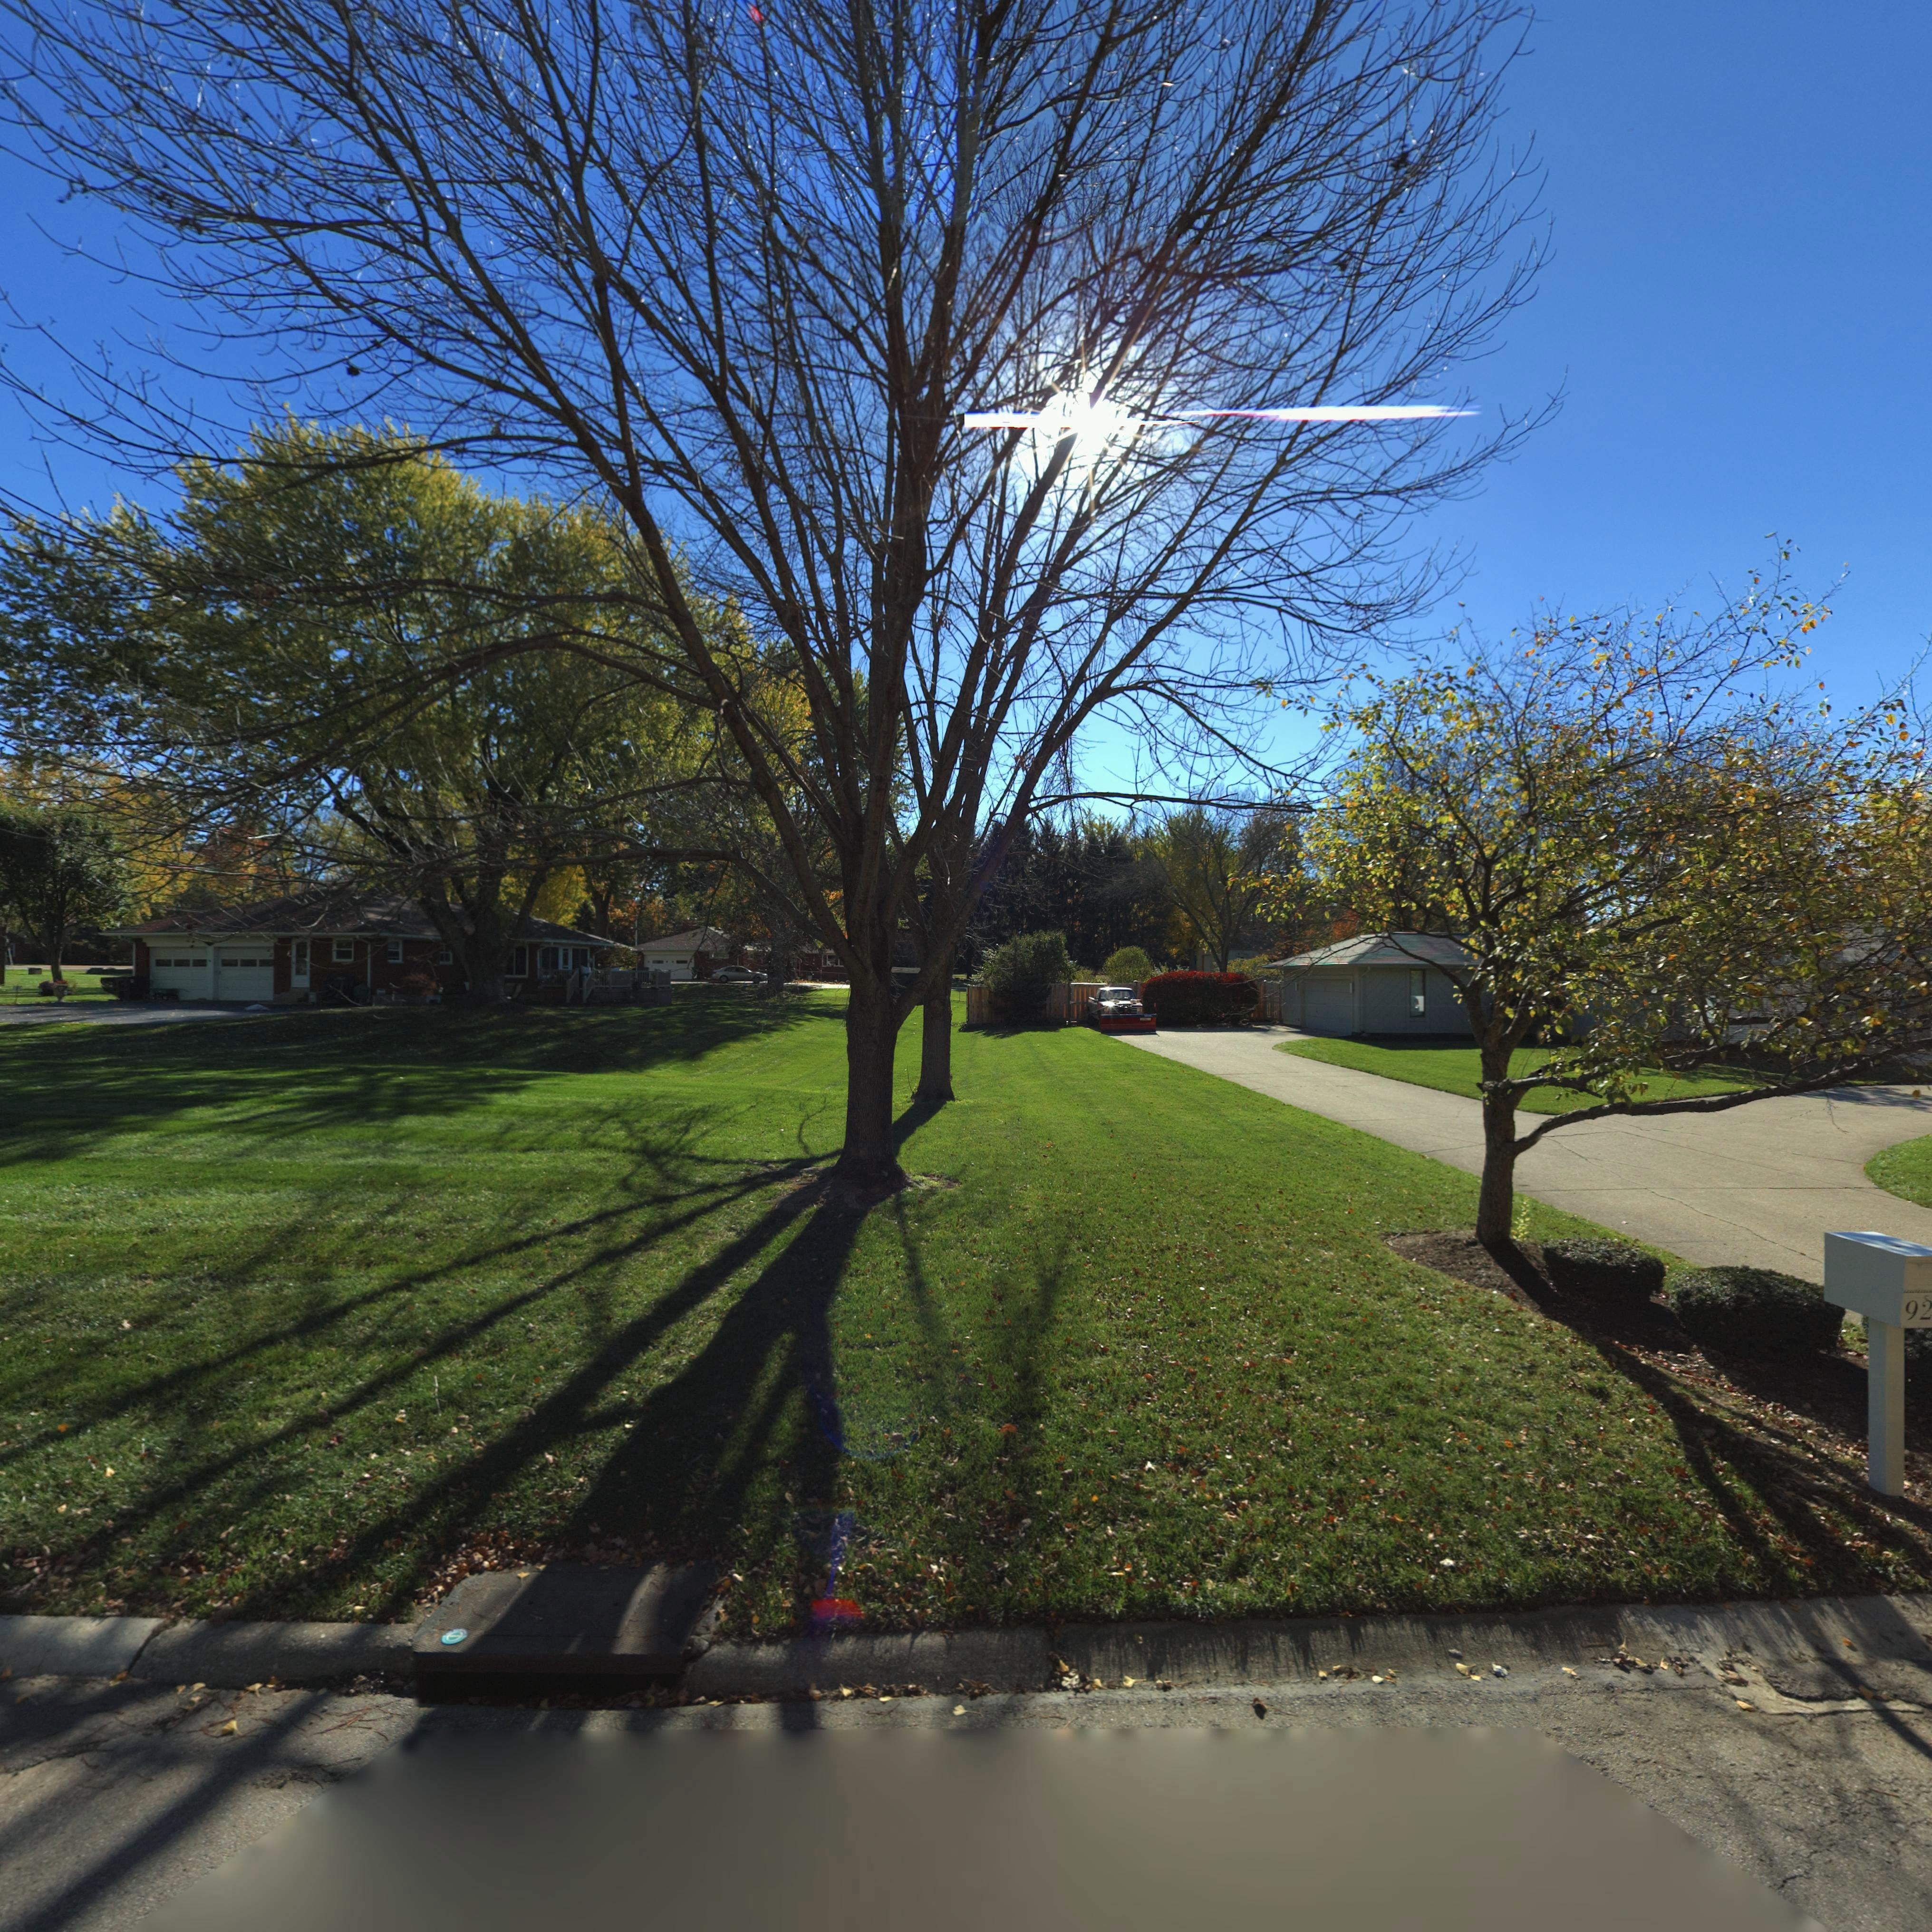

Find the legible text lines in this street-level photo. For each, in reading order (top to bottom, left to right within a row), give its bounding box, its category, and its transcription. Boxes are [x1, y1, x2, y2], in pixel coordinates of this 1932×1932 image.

[1903, 1299, 1932, 1322] StreetNumber: 92